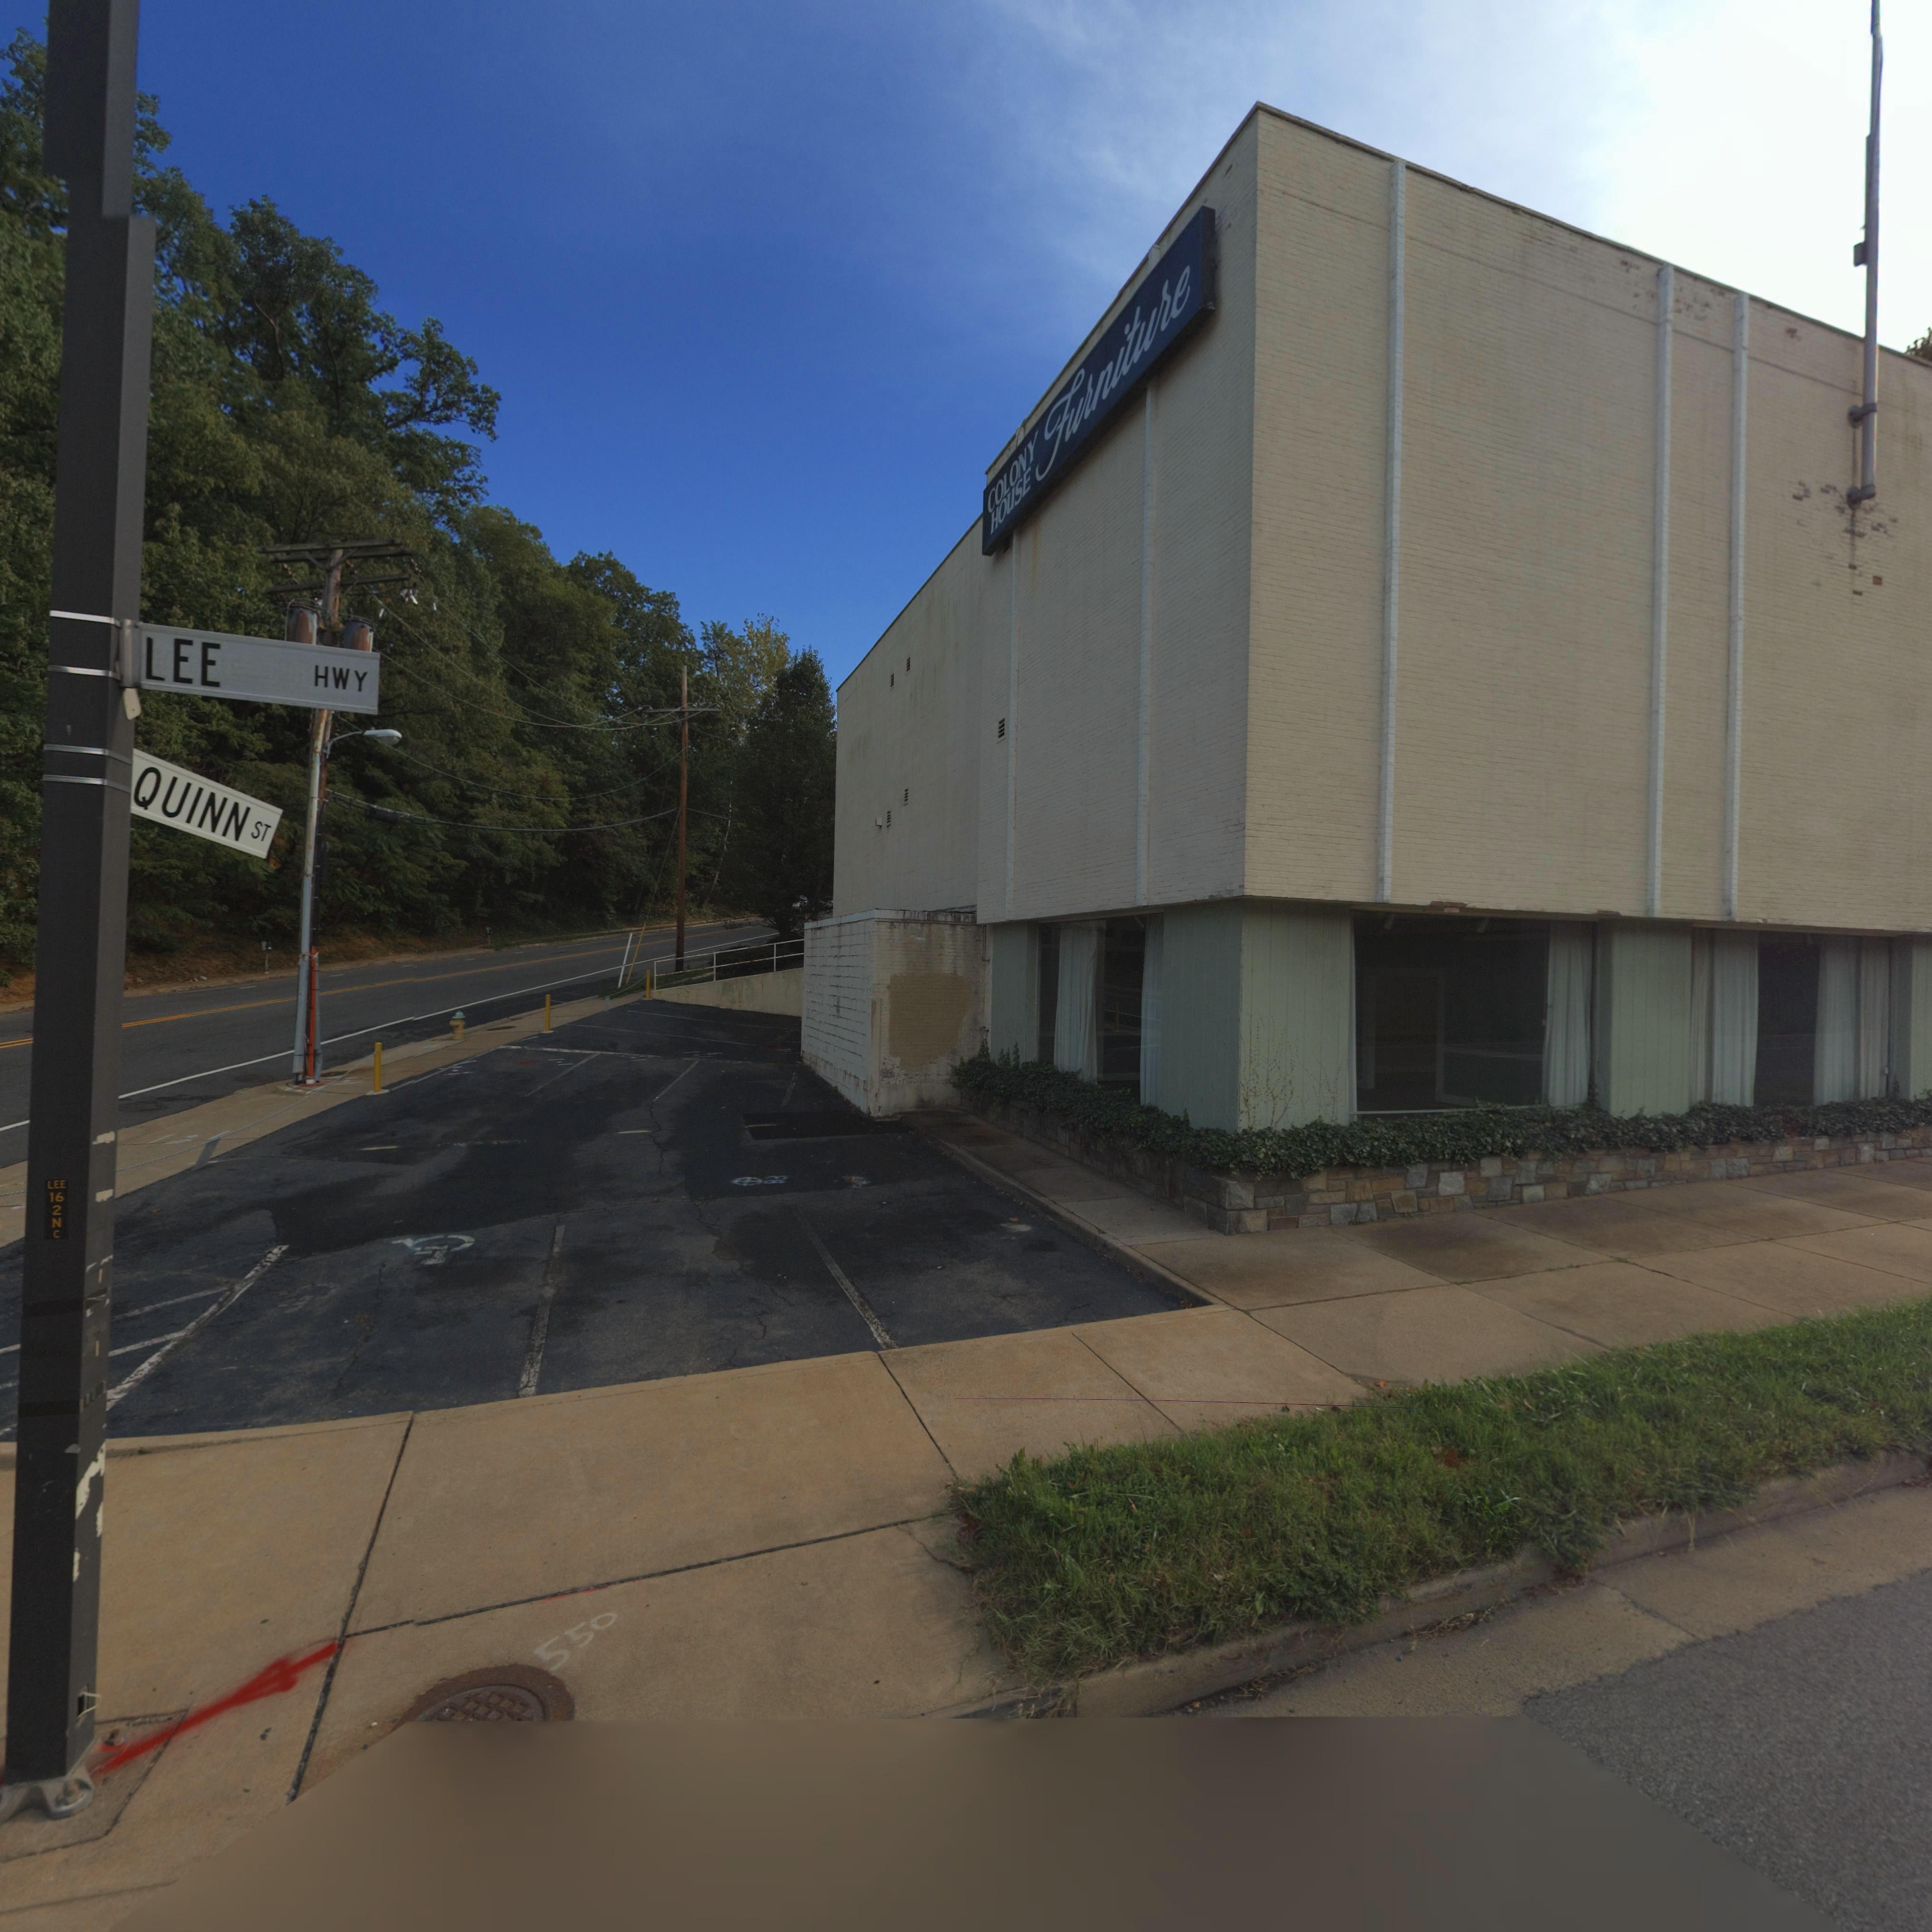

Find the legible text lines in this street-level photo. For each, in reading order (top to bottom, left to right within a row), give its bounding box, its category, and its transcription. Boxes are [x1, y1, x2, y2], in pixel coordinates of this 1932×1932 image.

[1045, 259, 1194, 473] BusinessName: Furniture
[989, 461, 1033, 540] BusinessName: HOUSE
[986, 424, 1041, 518] BusinessName: COLONY
[142, 629, 374, 698] StreetName: LEE HWY
[128, 761, 276, 847] StreetName: QUINN ST
[46, 1179, 68, 1190] None: LEE
[51, 1204, 63, 1240] None: 2NC
[48, 1191, 66, 1203] None: 16
[530, 1607, 622, 1681] None: 550